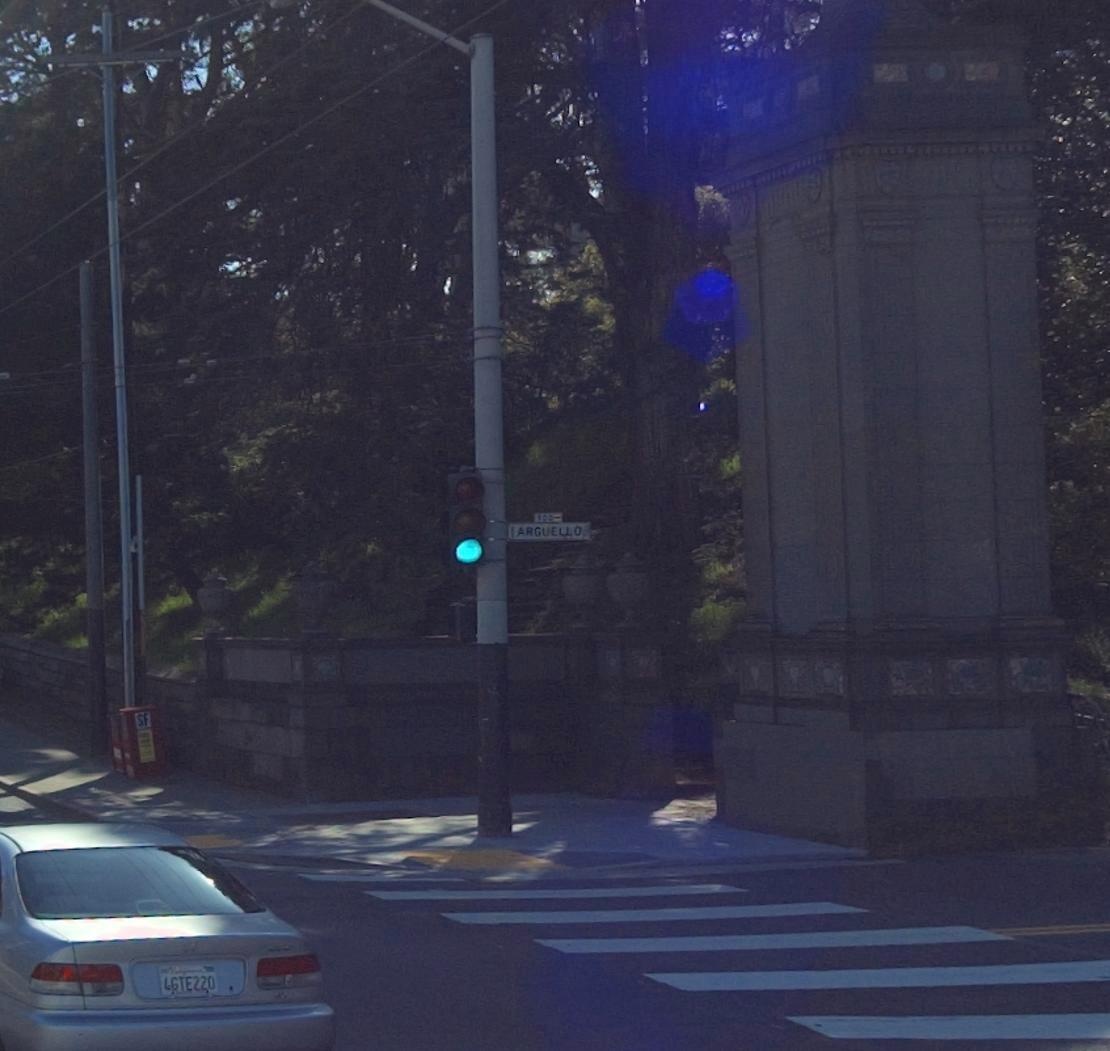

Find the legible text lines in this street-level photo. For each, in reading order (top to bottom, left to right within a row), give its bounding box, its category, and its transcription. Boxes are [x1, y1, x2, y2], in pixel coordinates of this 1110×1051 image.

[535, 512, 560, 521] StreetNumberRange: *00->
[515, 523, 583, 540] StreetName: ARGUELLO
[136, 712, 150, 729] None: SF
[162, 975, 215, 990] None: 4GTE220